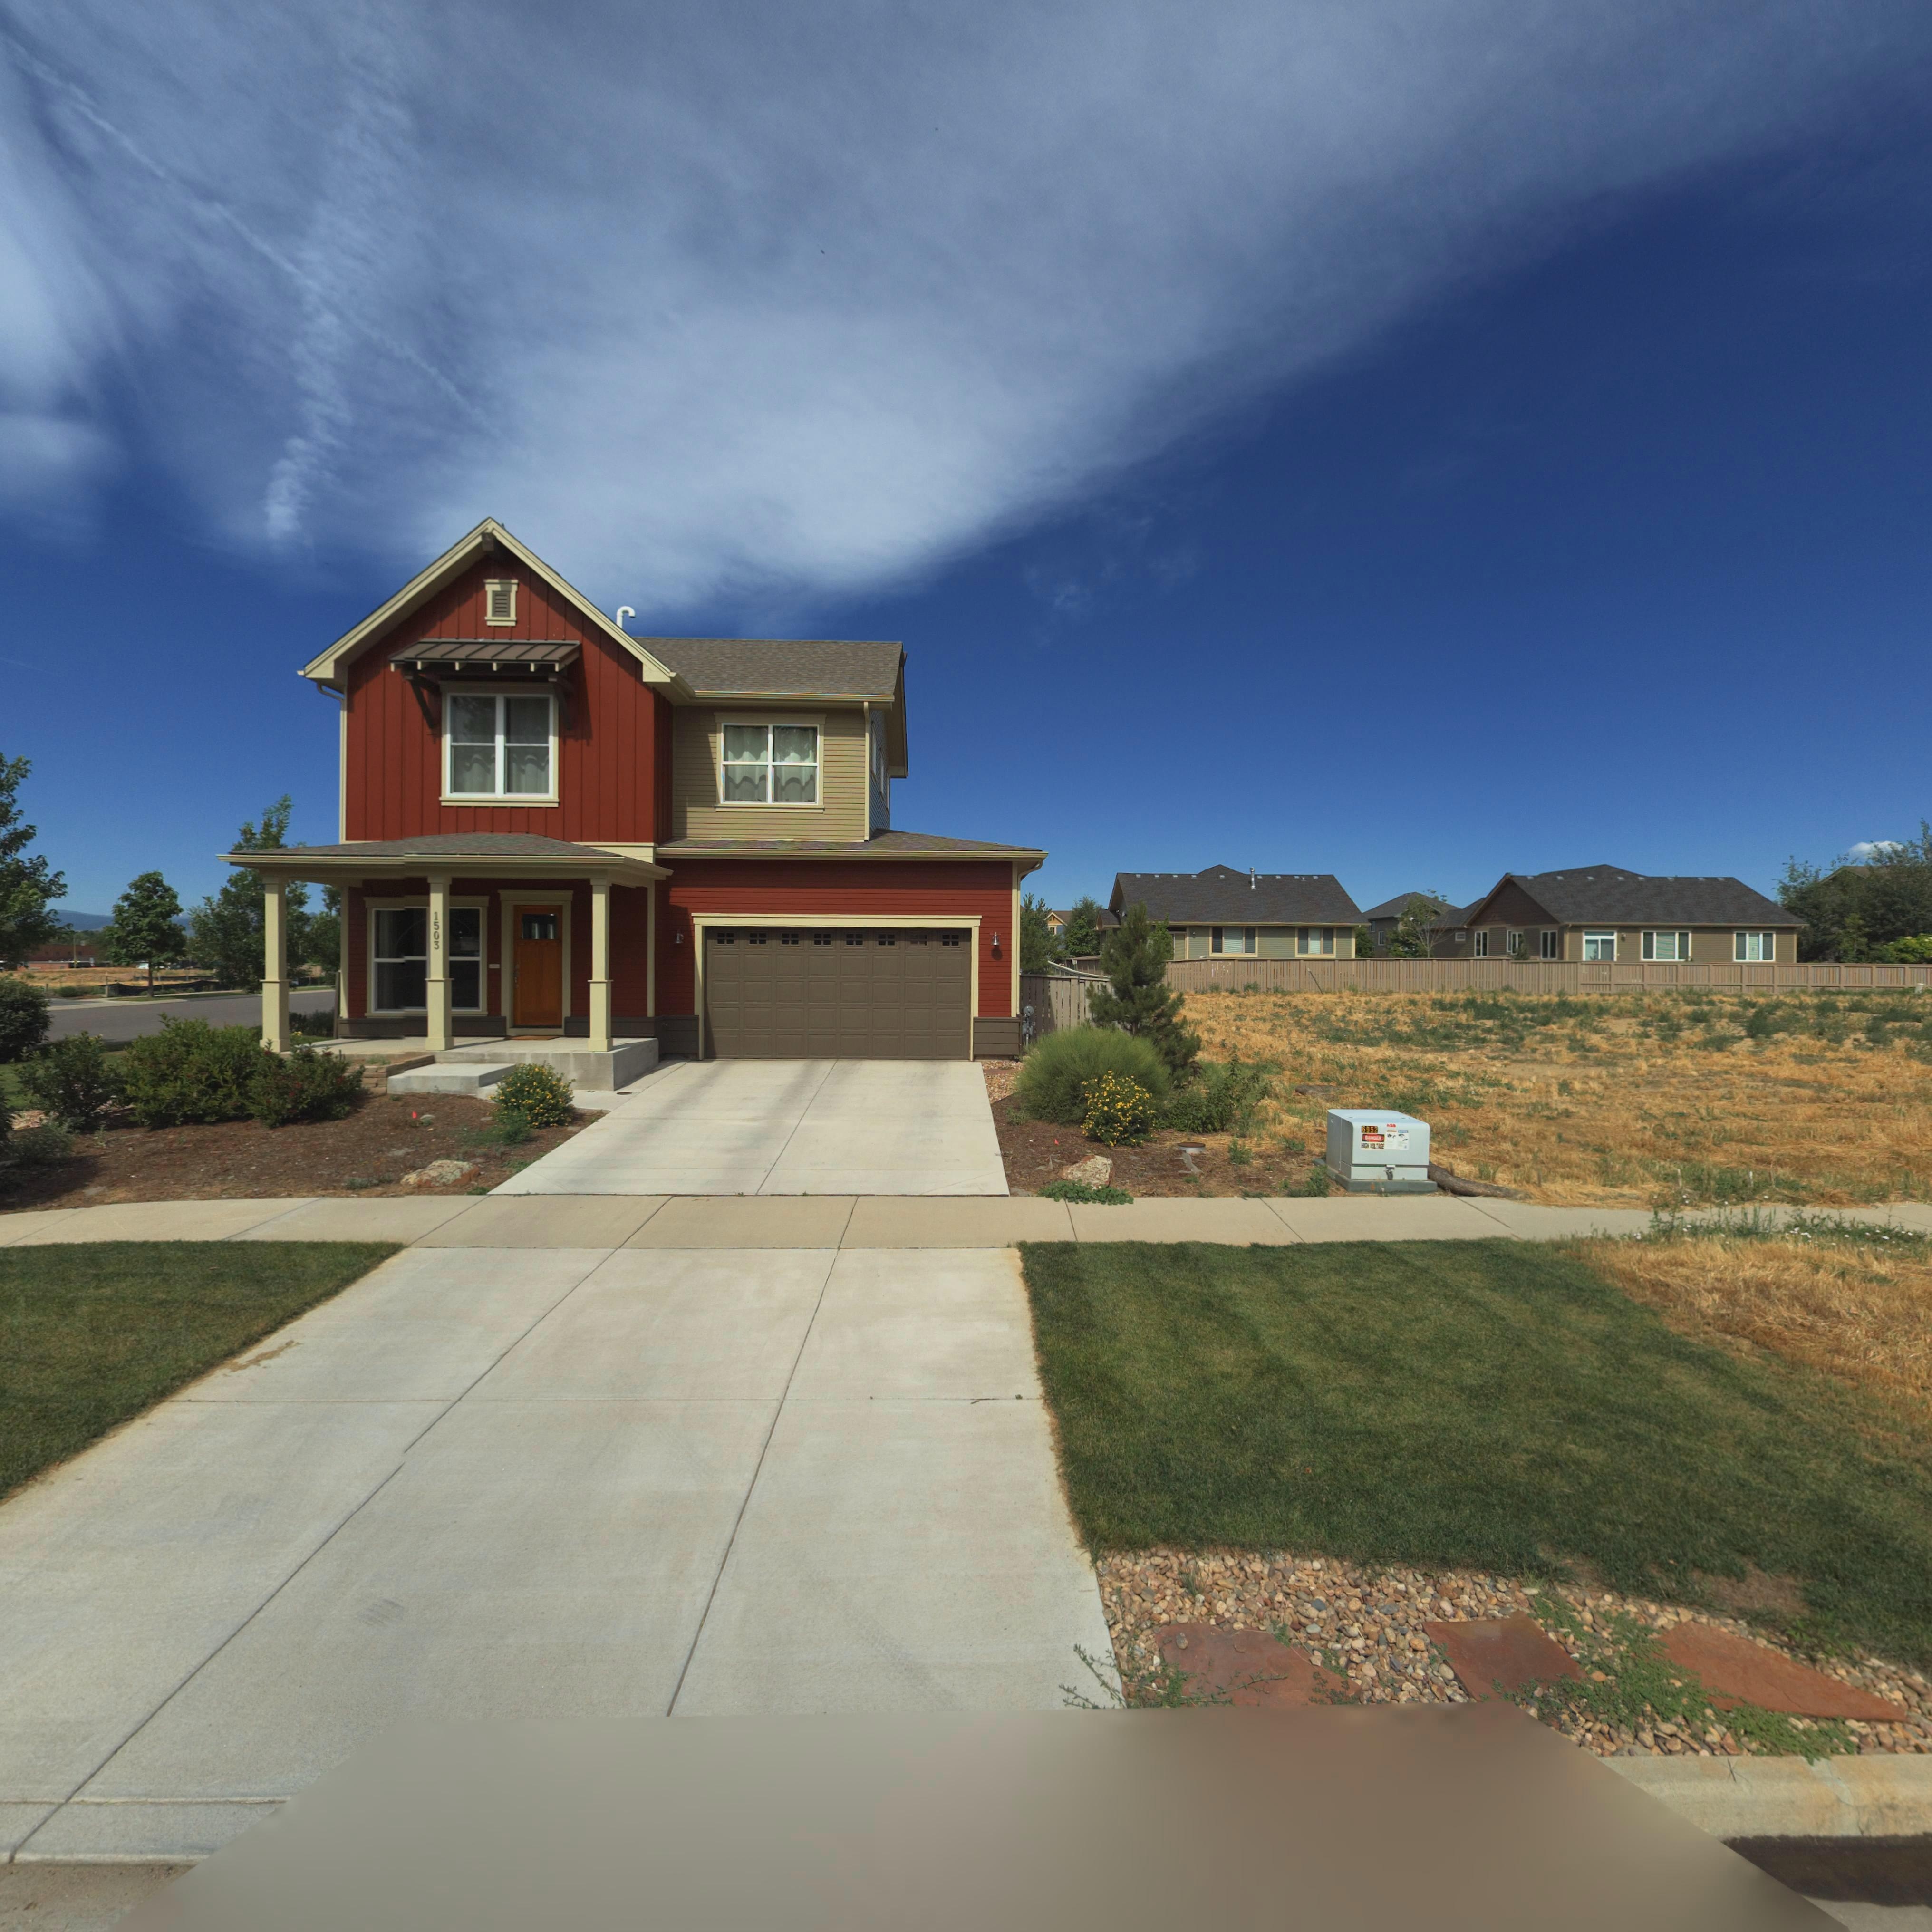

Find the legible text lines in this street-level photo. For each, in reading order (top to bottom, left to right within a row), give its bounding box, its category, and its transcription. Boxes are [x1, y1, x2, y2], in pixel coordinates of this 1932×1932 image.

[433, 911, 439, 950] StreetNumber: 1503